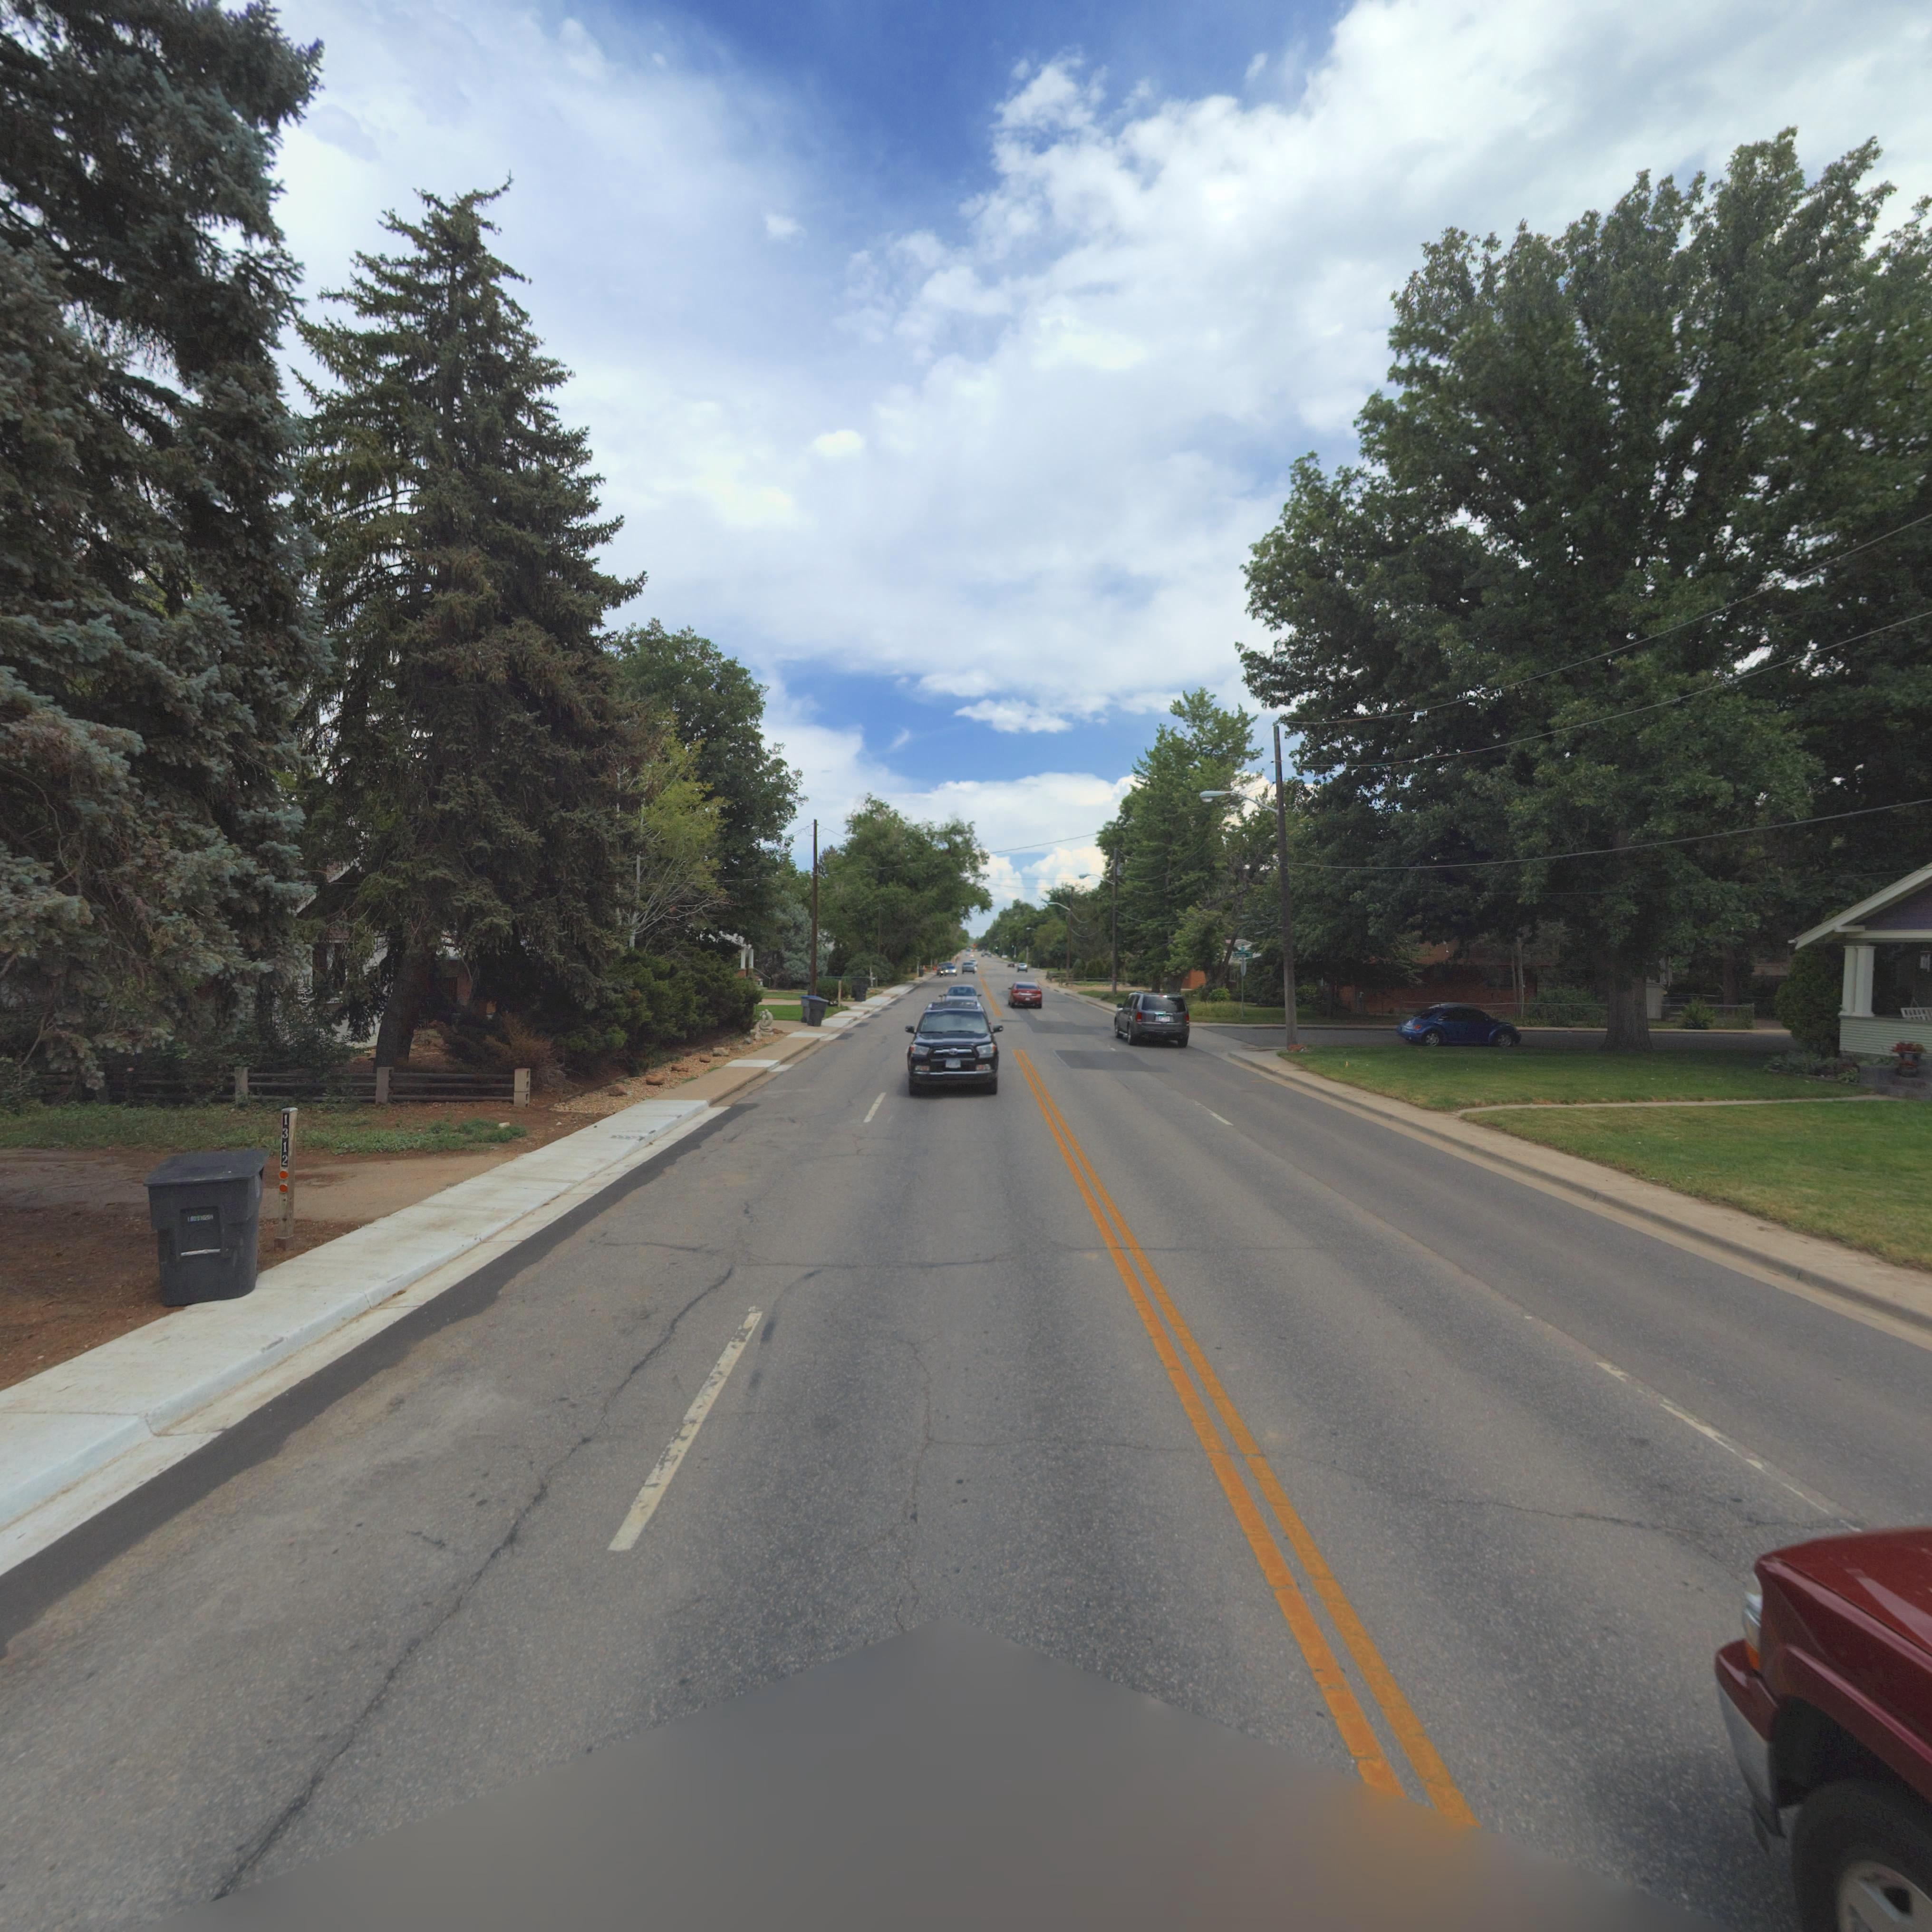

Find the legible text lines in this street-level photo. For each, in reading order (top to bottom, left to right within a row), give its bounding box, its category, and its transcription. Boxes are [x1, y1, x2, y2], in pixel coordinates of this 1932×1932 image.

[1233, 953, 1252, 957] StreetNumber: L****** St
[280, 1112, 290, 1167] StreetNumber: 1312